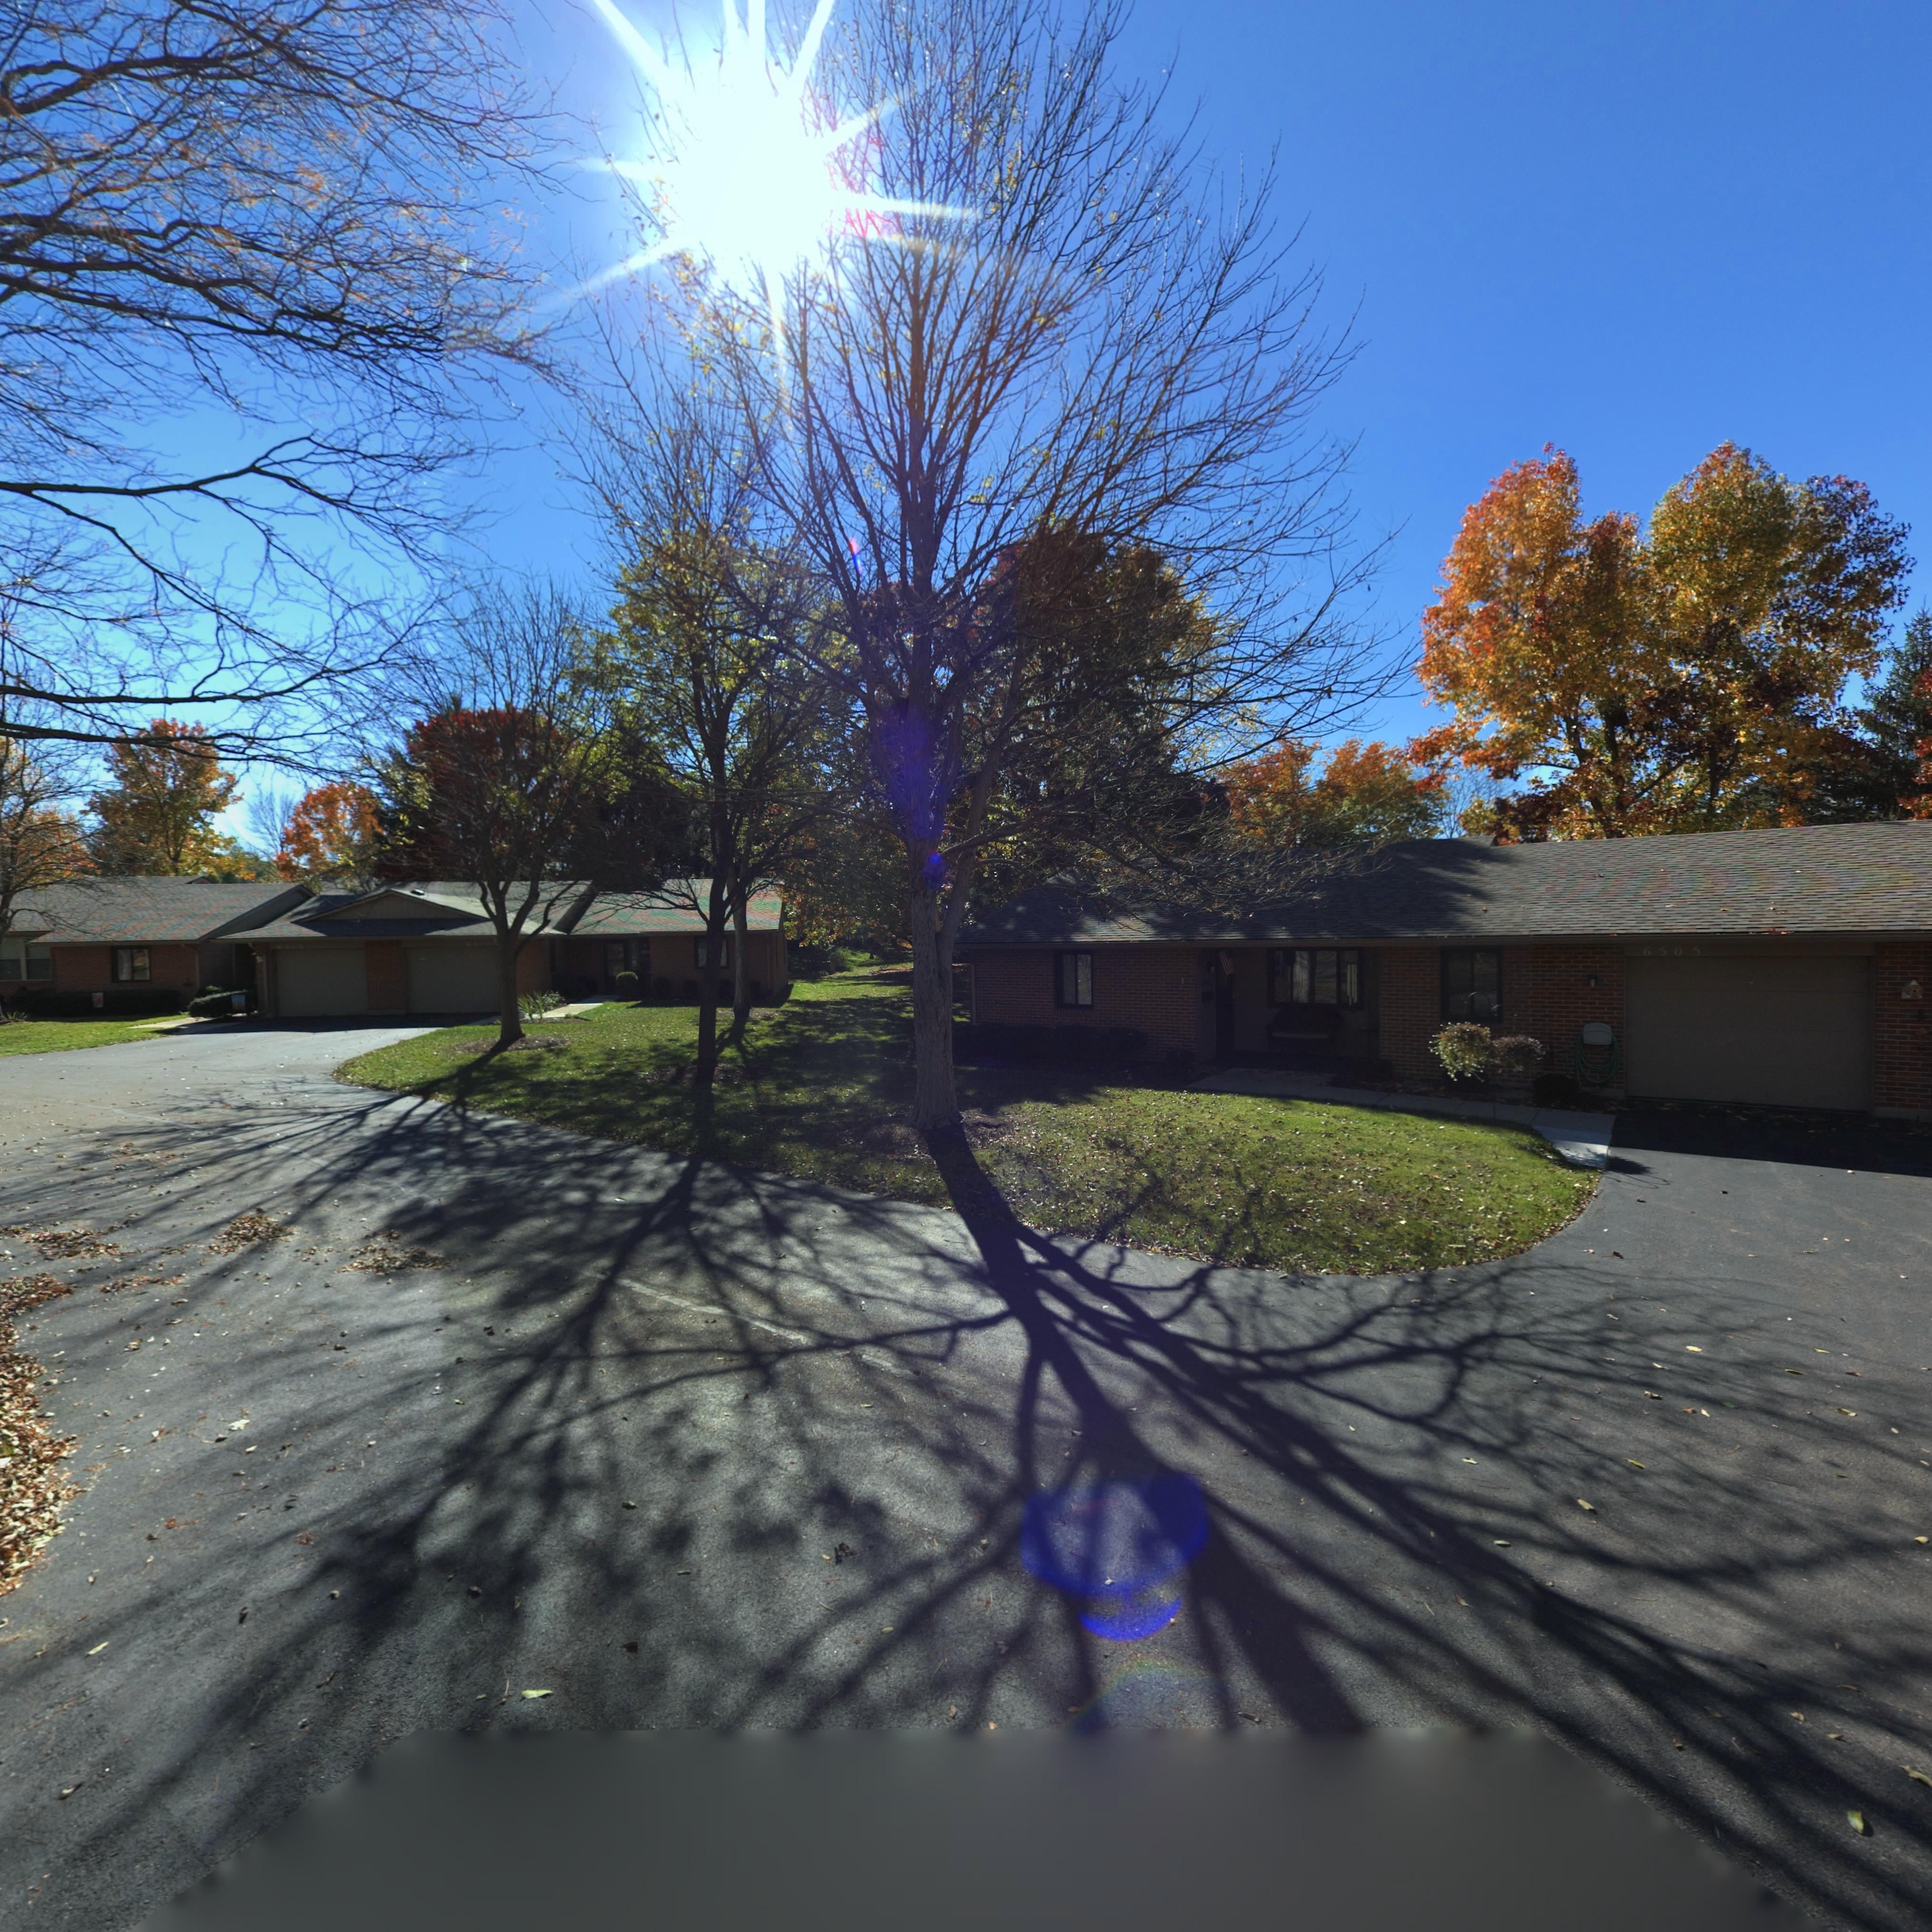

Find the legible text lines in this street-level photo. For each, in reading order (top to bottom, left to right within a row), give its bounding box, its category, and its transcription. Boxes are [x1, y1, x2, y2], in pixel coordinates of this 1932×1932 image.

[1642, 945, 1702, 958] StreetNumber: 6505